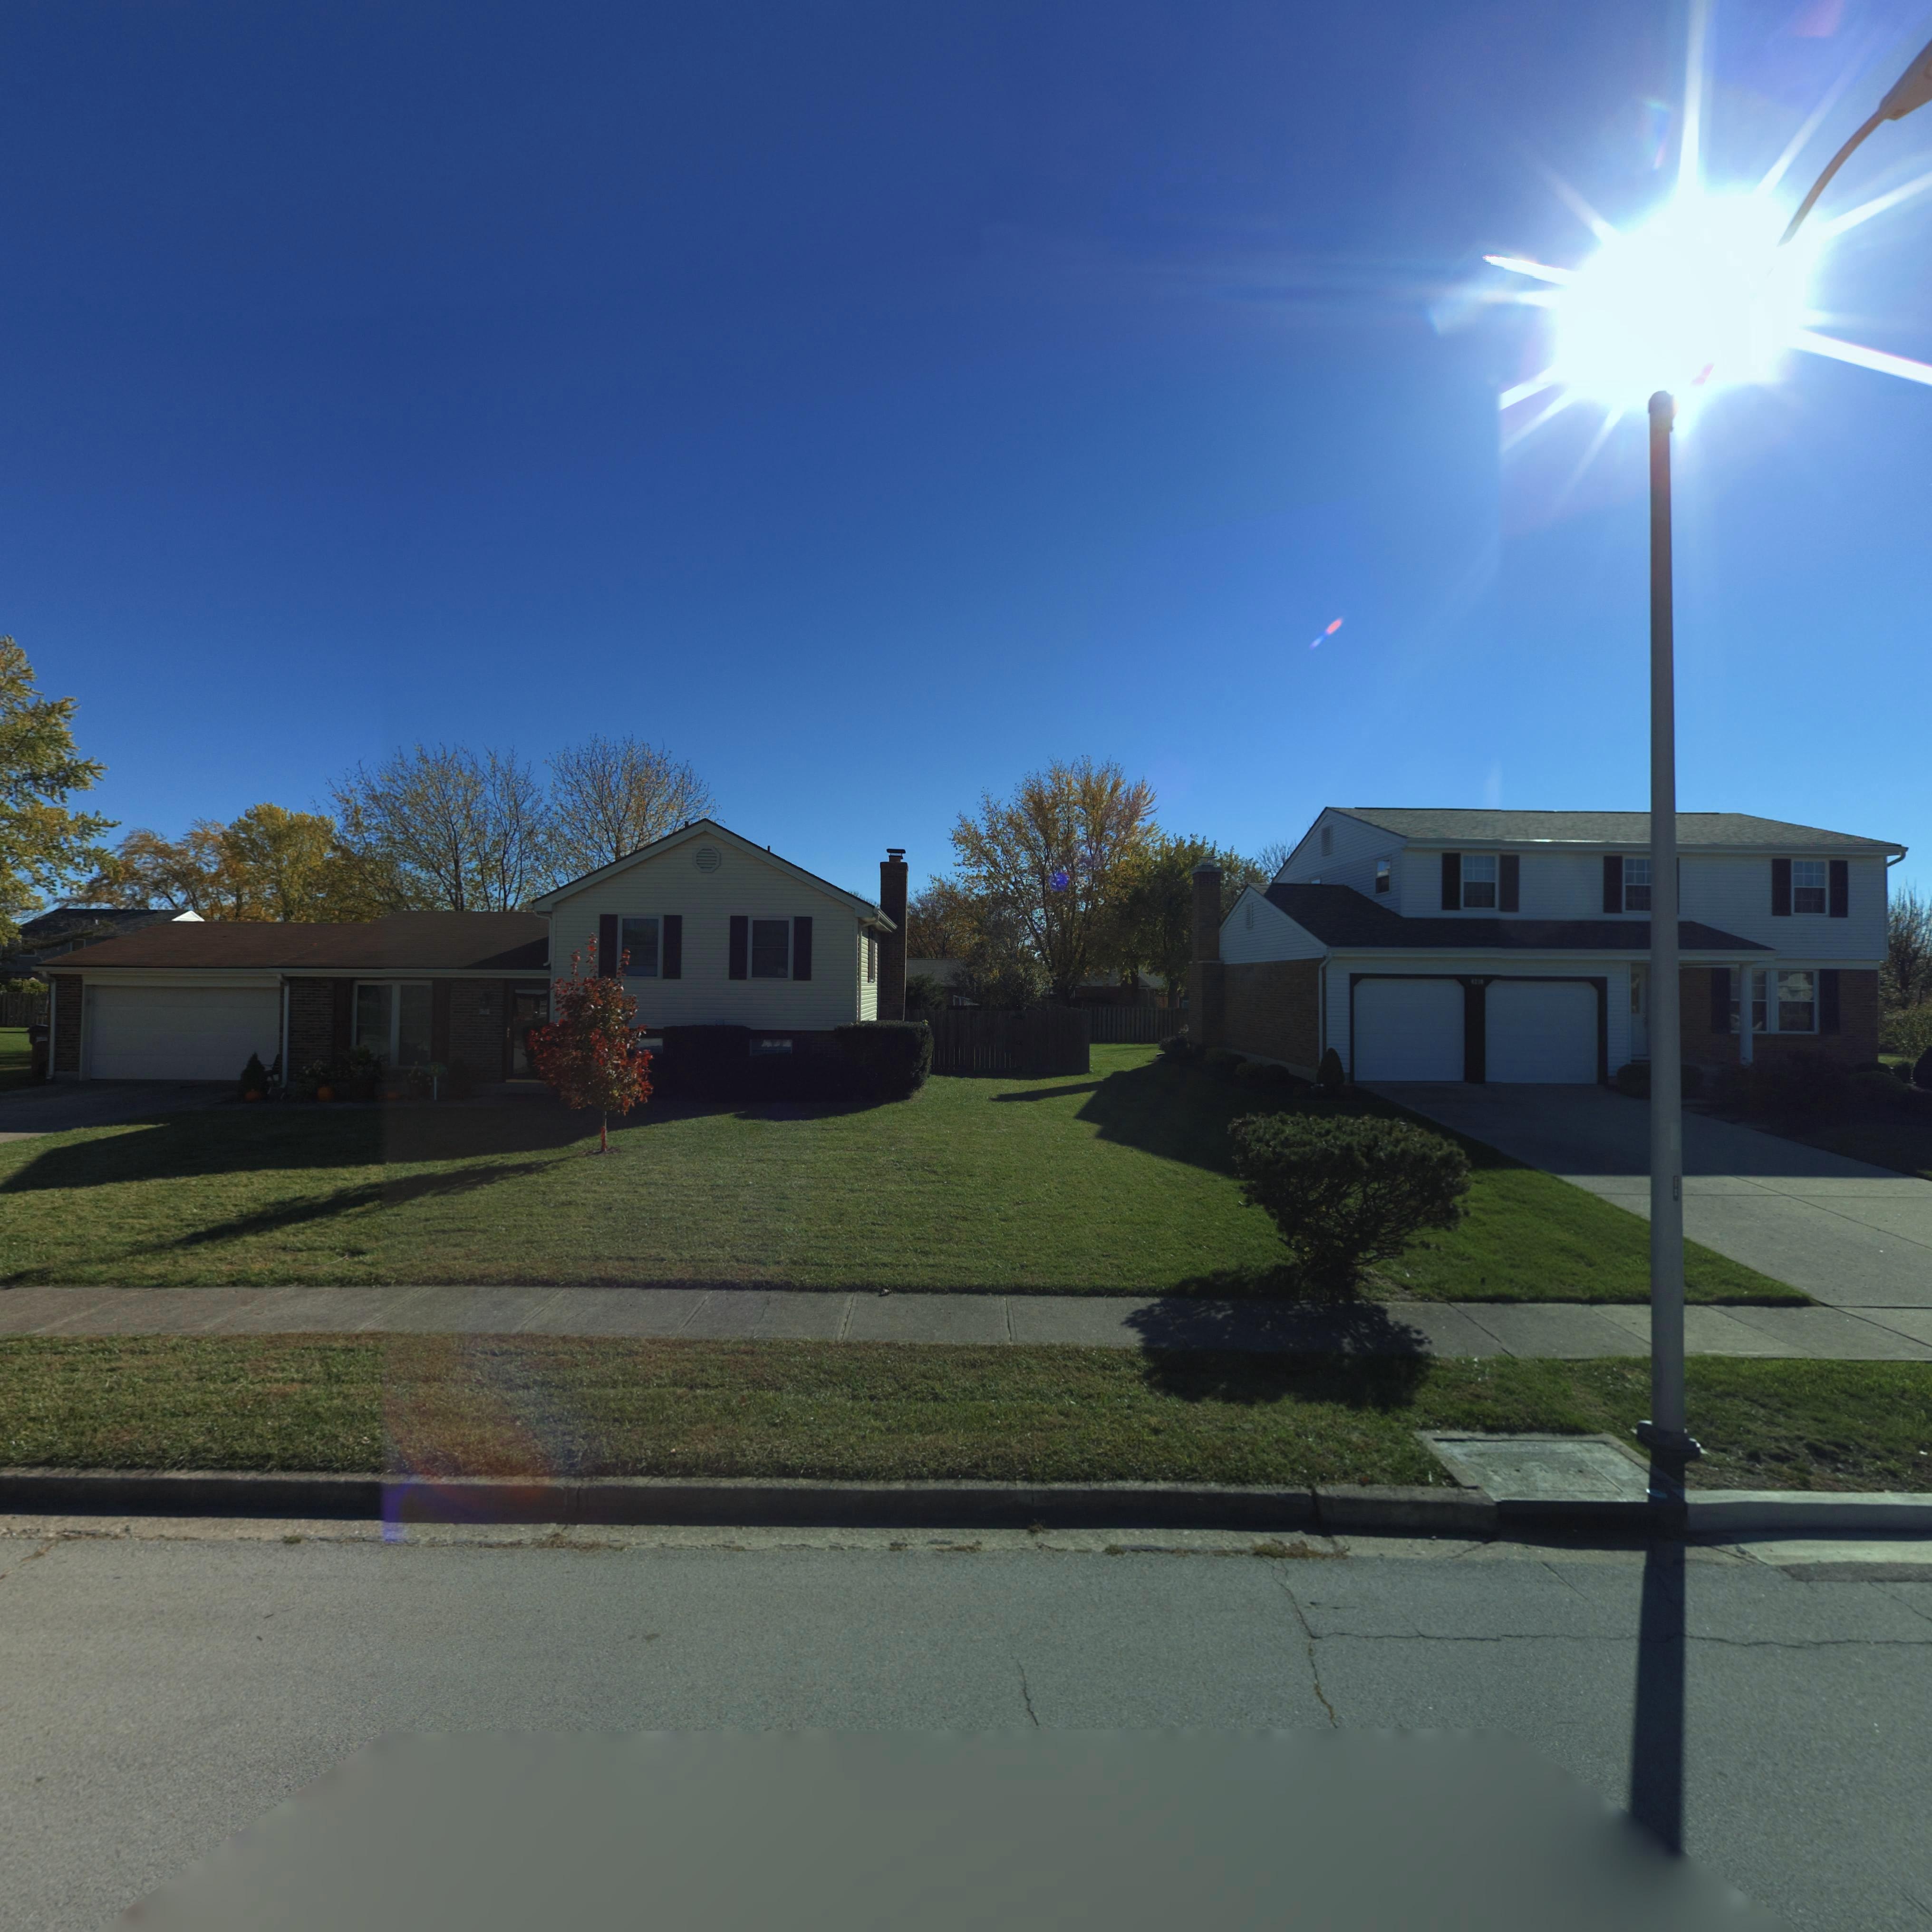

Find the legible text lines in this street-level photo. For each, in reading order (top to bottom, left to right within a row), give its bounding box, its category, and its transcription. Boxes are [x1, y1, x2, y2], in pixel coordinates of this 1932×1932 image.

[1471, 978, 1484, 985] StreetNumber: 4210
[479, 1009, 491, 1014] StreetNumber: 4***